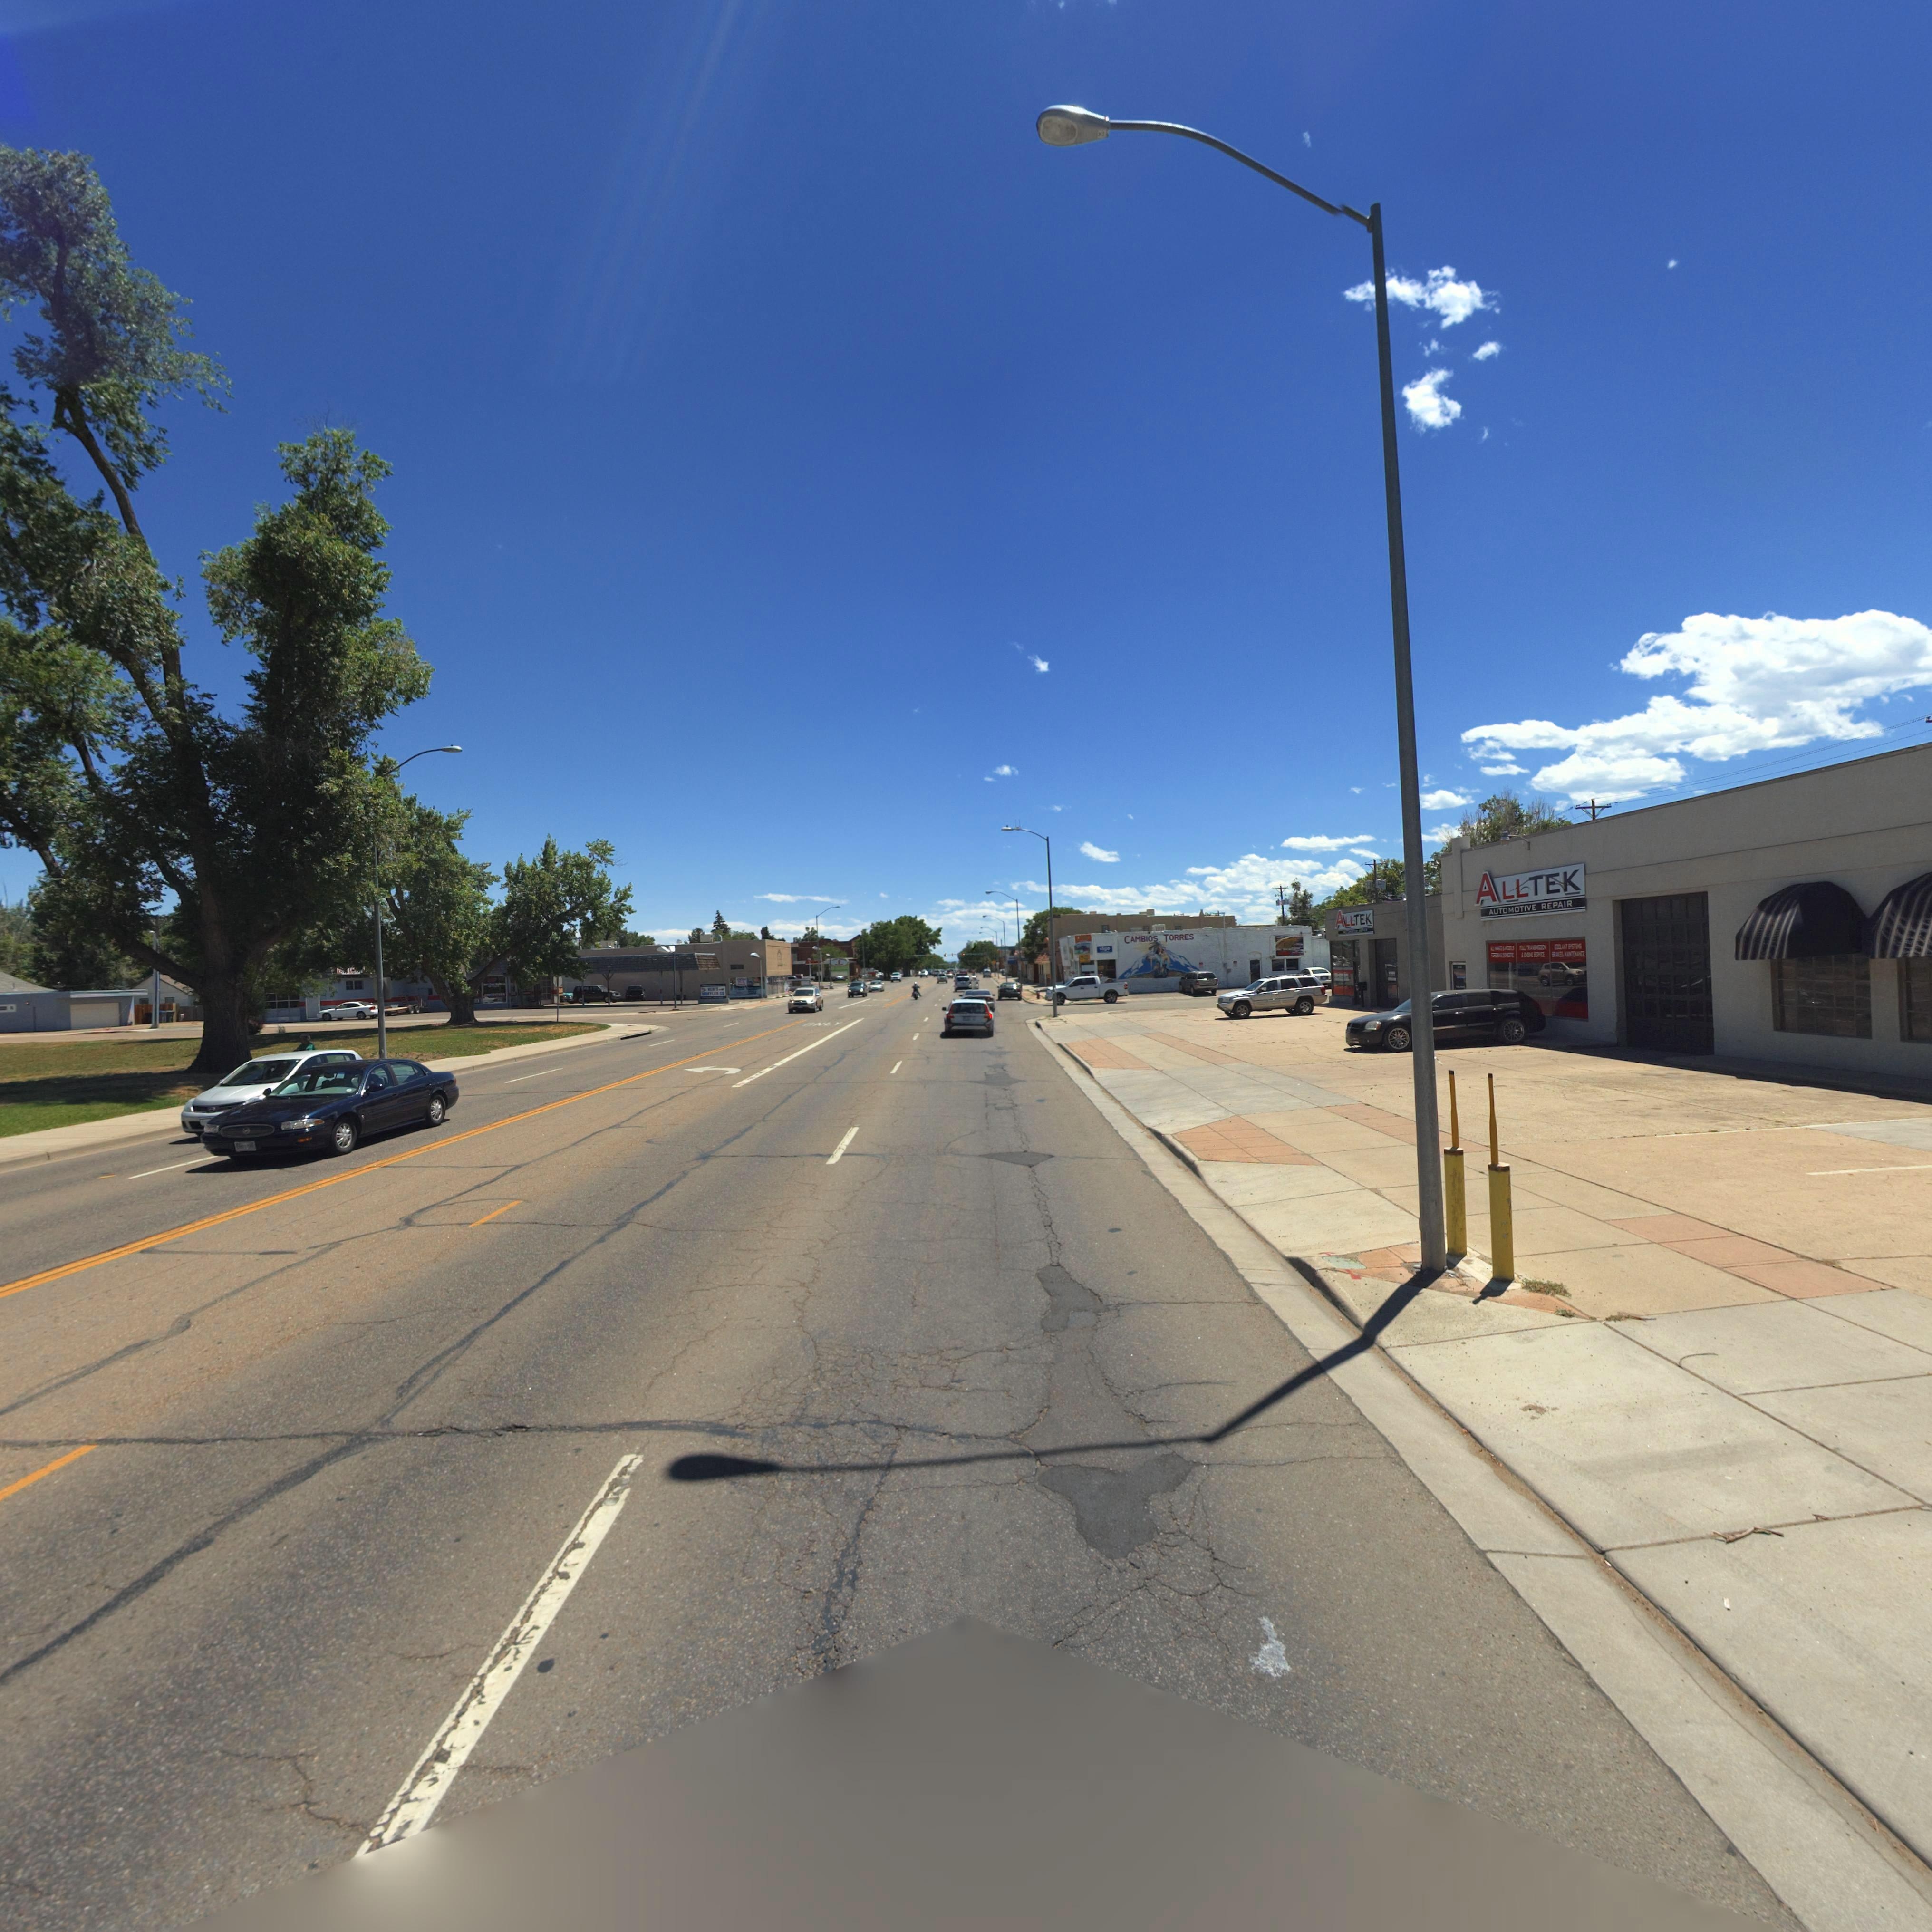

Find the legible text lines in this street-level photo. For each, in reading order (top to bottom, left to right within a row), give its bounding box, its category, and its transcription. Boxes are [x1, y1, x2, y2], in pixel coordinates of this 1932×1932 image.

[1473, 868, 1582, 906] BusinessName: ALLTEK
[1488, 899, 1573, 915] BusinessName: AUTOMOTIVE REPAIR
[1334, 909, 1372, 929] BusinessName: ALLTEK
[1343, 928, 1369, 934] BusinessName: AUTOMOTIVE REPAIR
[1124, 933, 1194, 944] BusinessName: CAMBIOS TORRES
[707, 987, 718, 991] BusinessName: KEN'S
[702, 991, 724, 995] BusinessName: MUFFLER CO